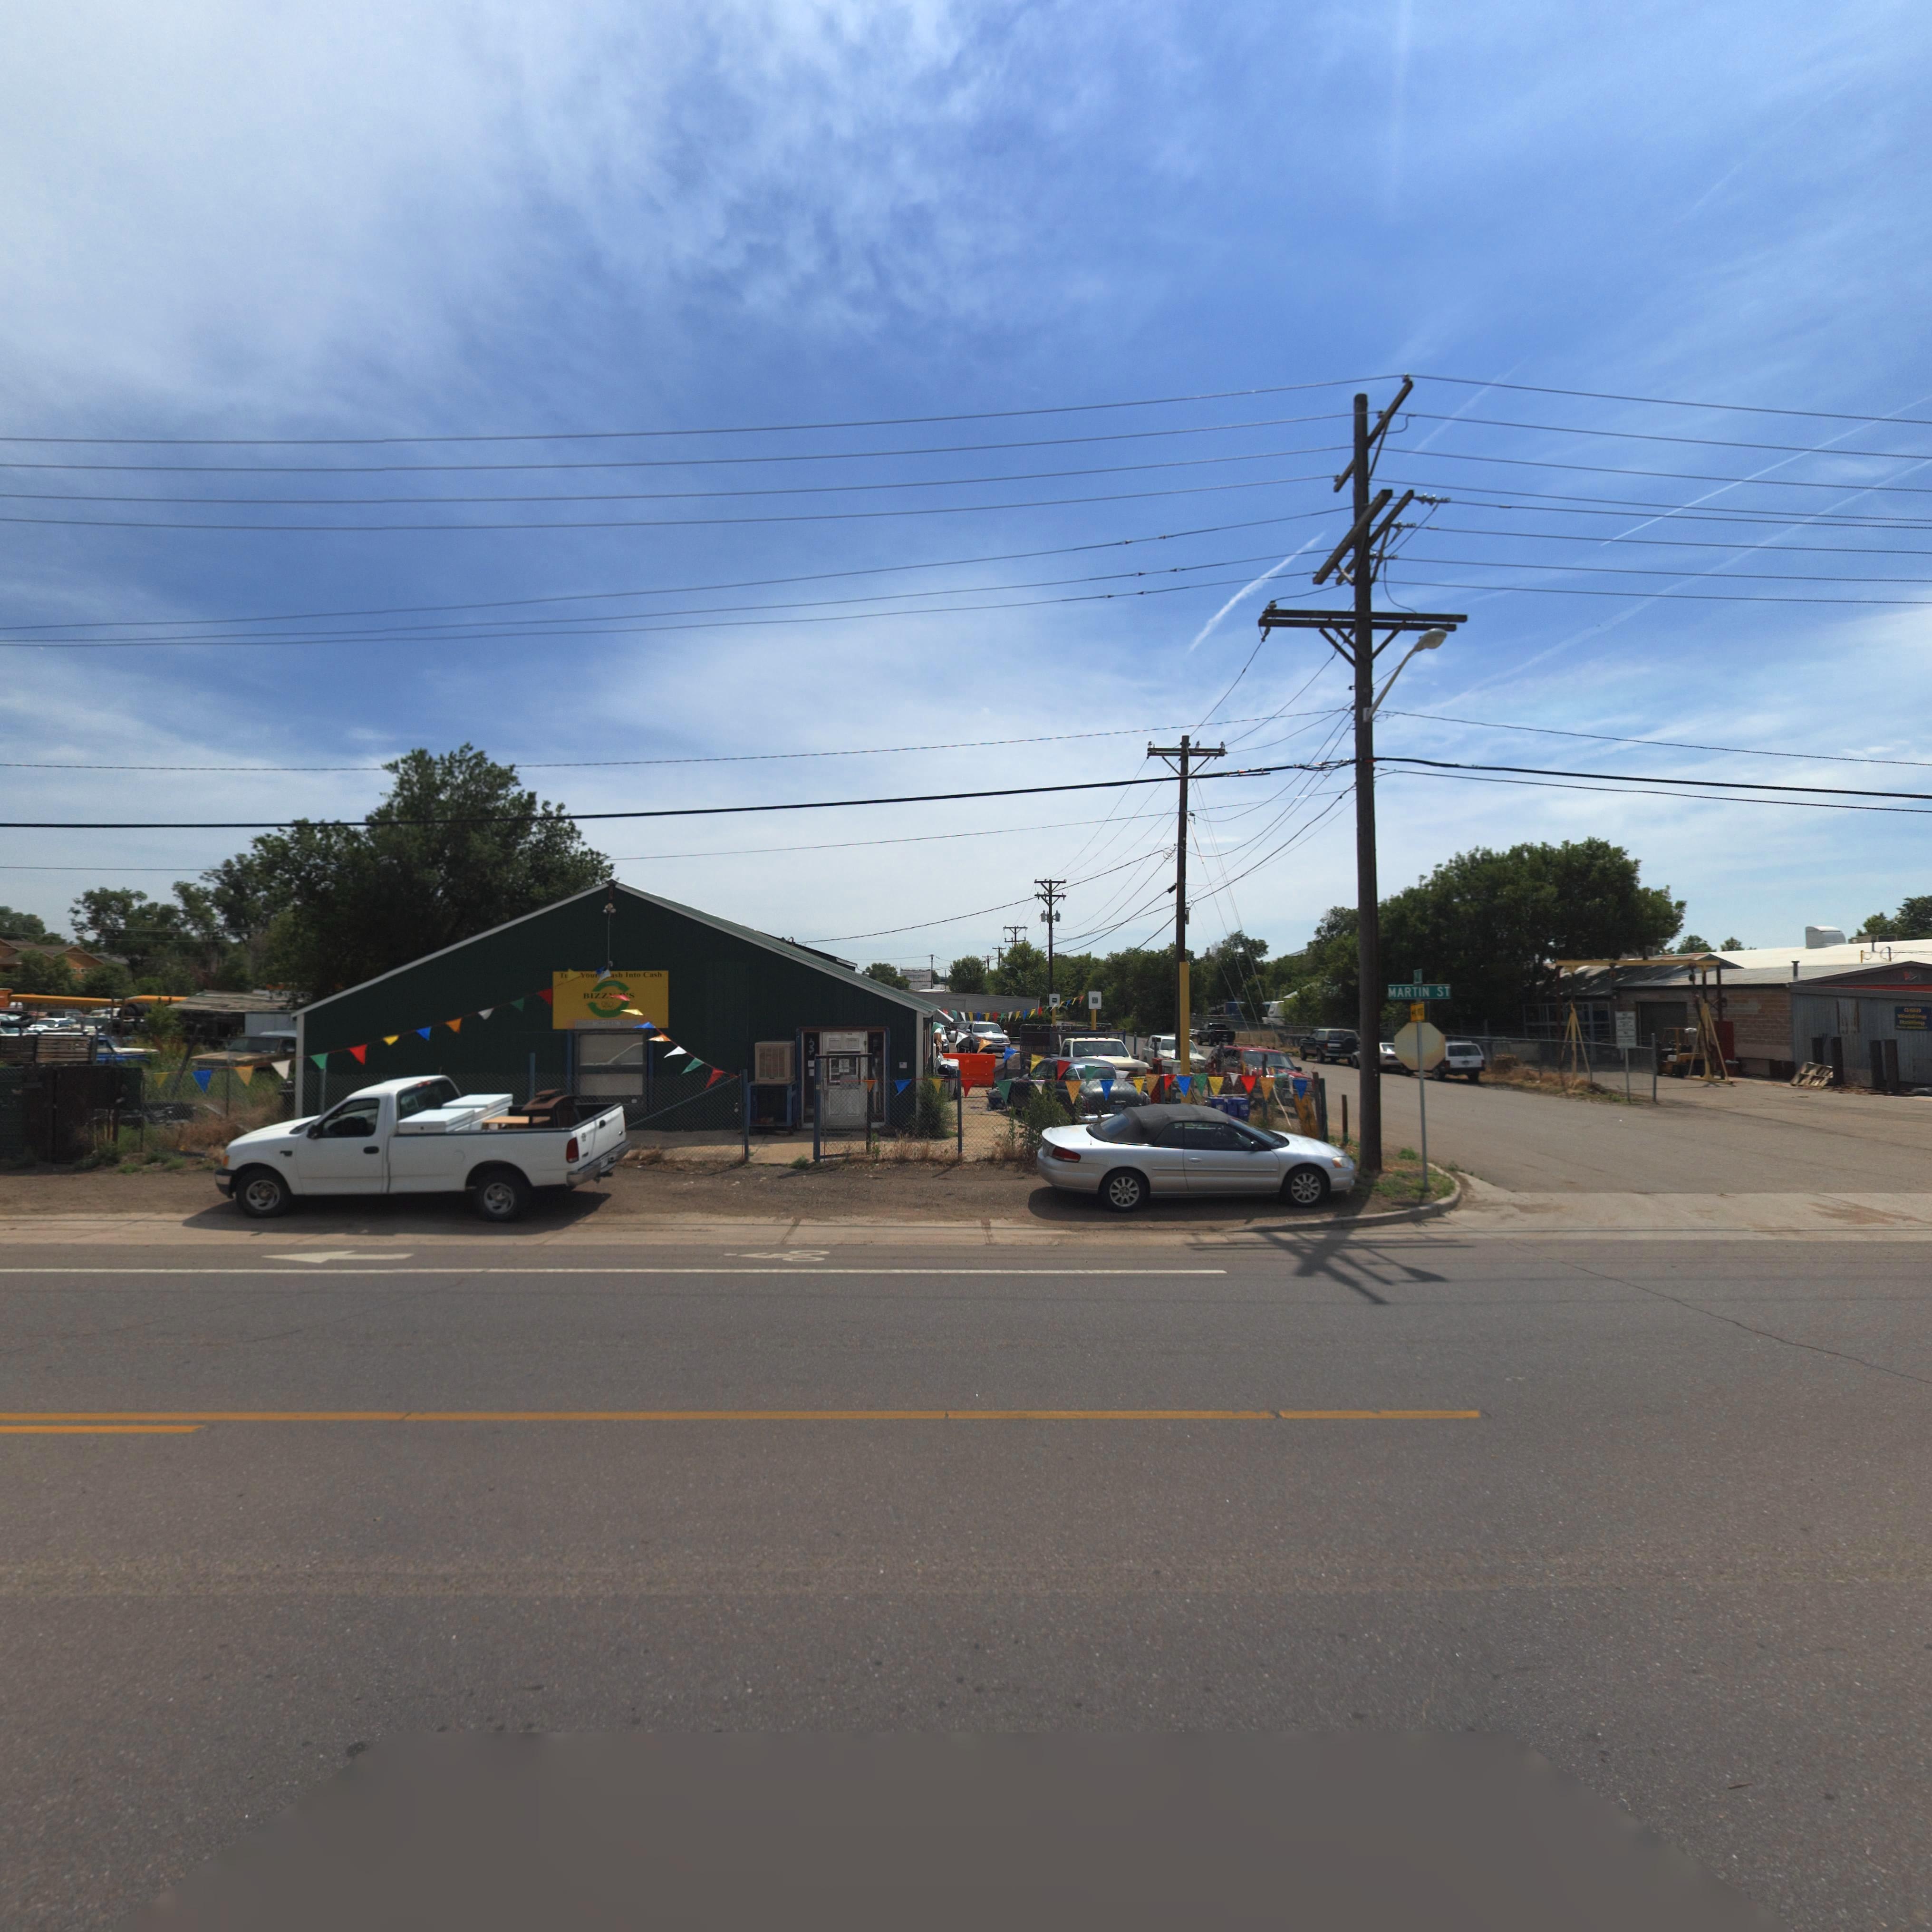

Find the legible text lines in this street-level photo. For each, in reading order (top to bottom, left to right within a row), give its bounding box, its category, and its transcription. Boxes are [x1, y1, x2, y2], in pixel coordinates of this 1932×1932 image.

[1387, 986, 1450, 997] StreetName: MARTIN ST
[582, 992, 635, 999] BusinessName: BIZZ**S
[600, 999, 614, 1009] StreetNumber: **0
[1903, 1008, 1921, 1012] BusinessName: **B
[1897, 1013, 1927, 1020] BusinessName: W**d**g
[1898, 1019, 1925, 1026] BusinessName: Ra****g